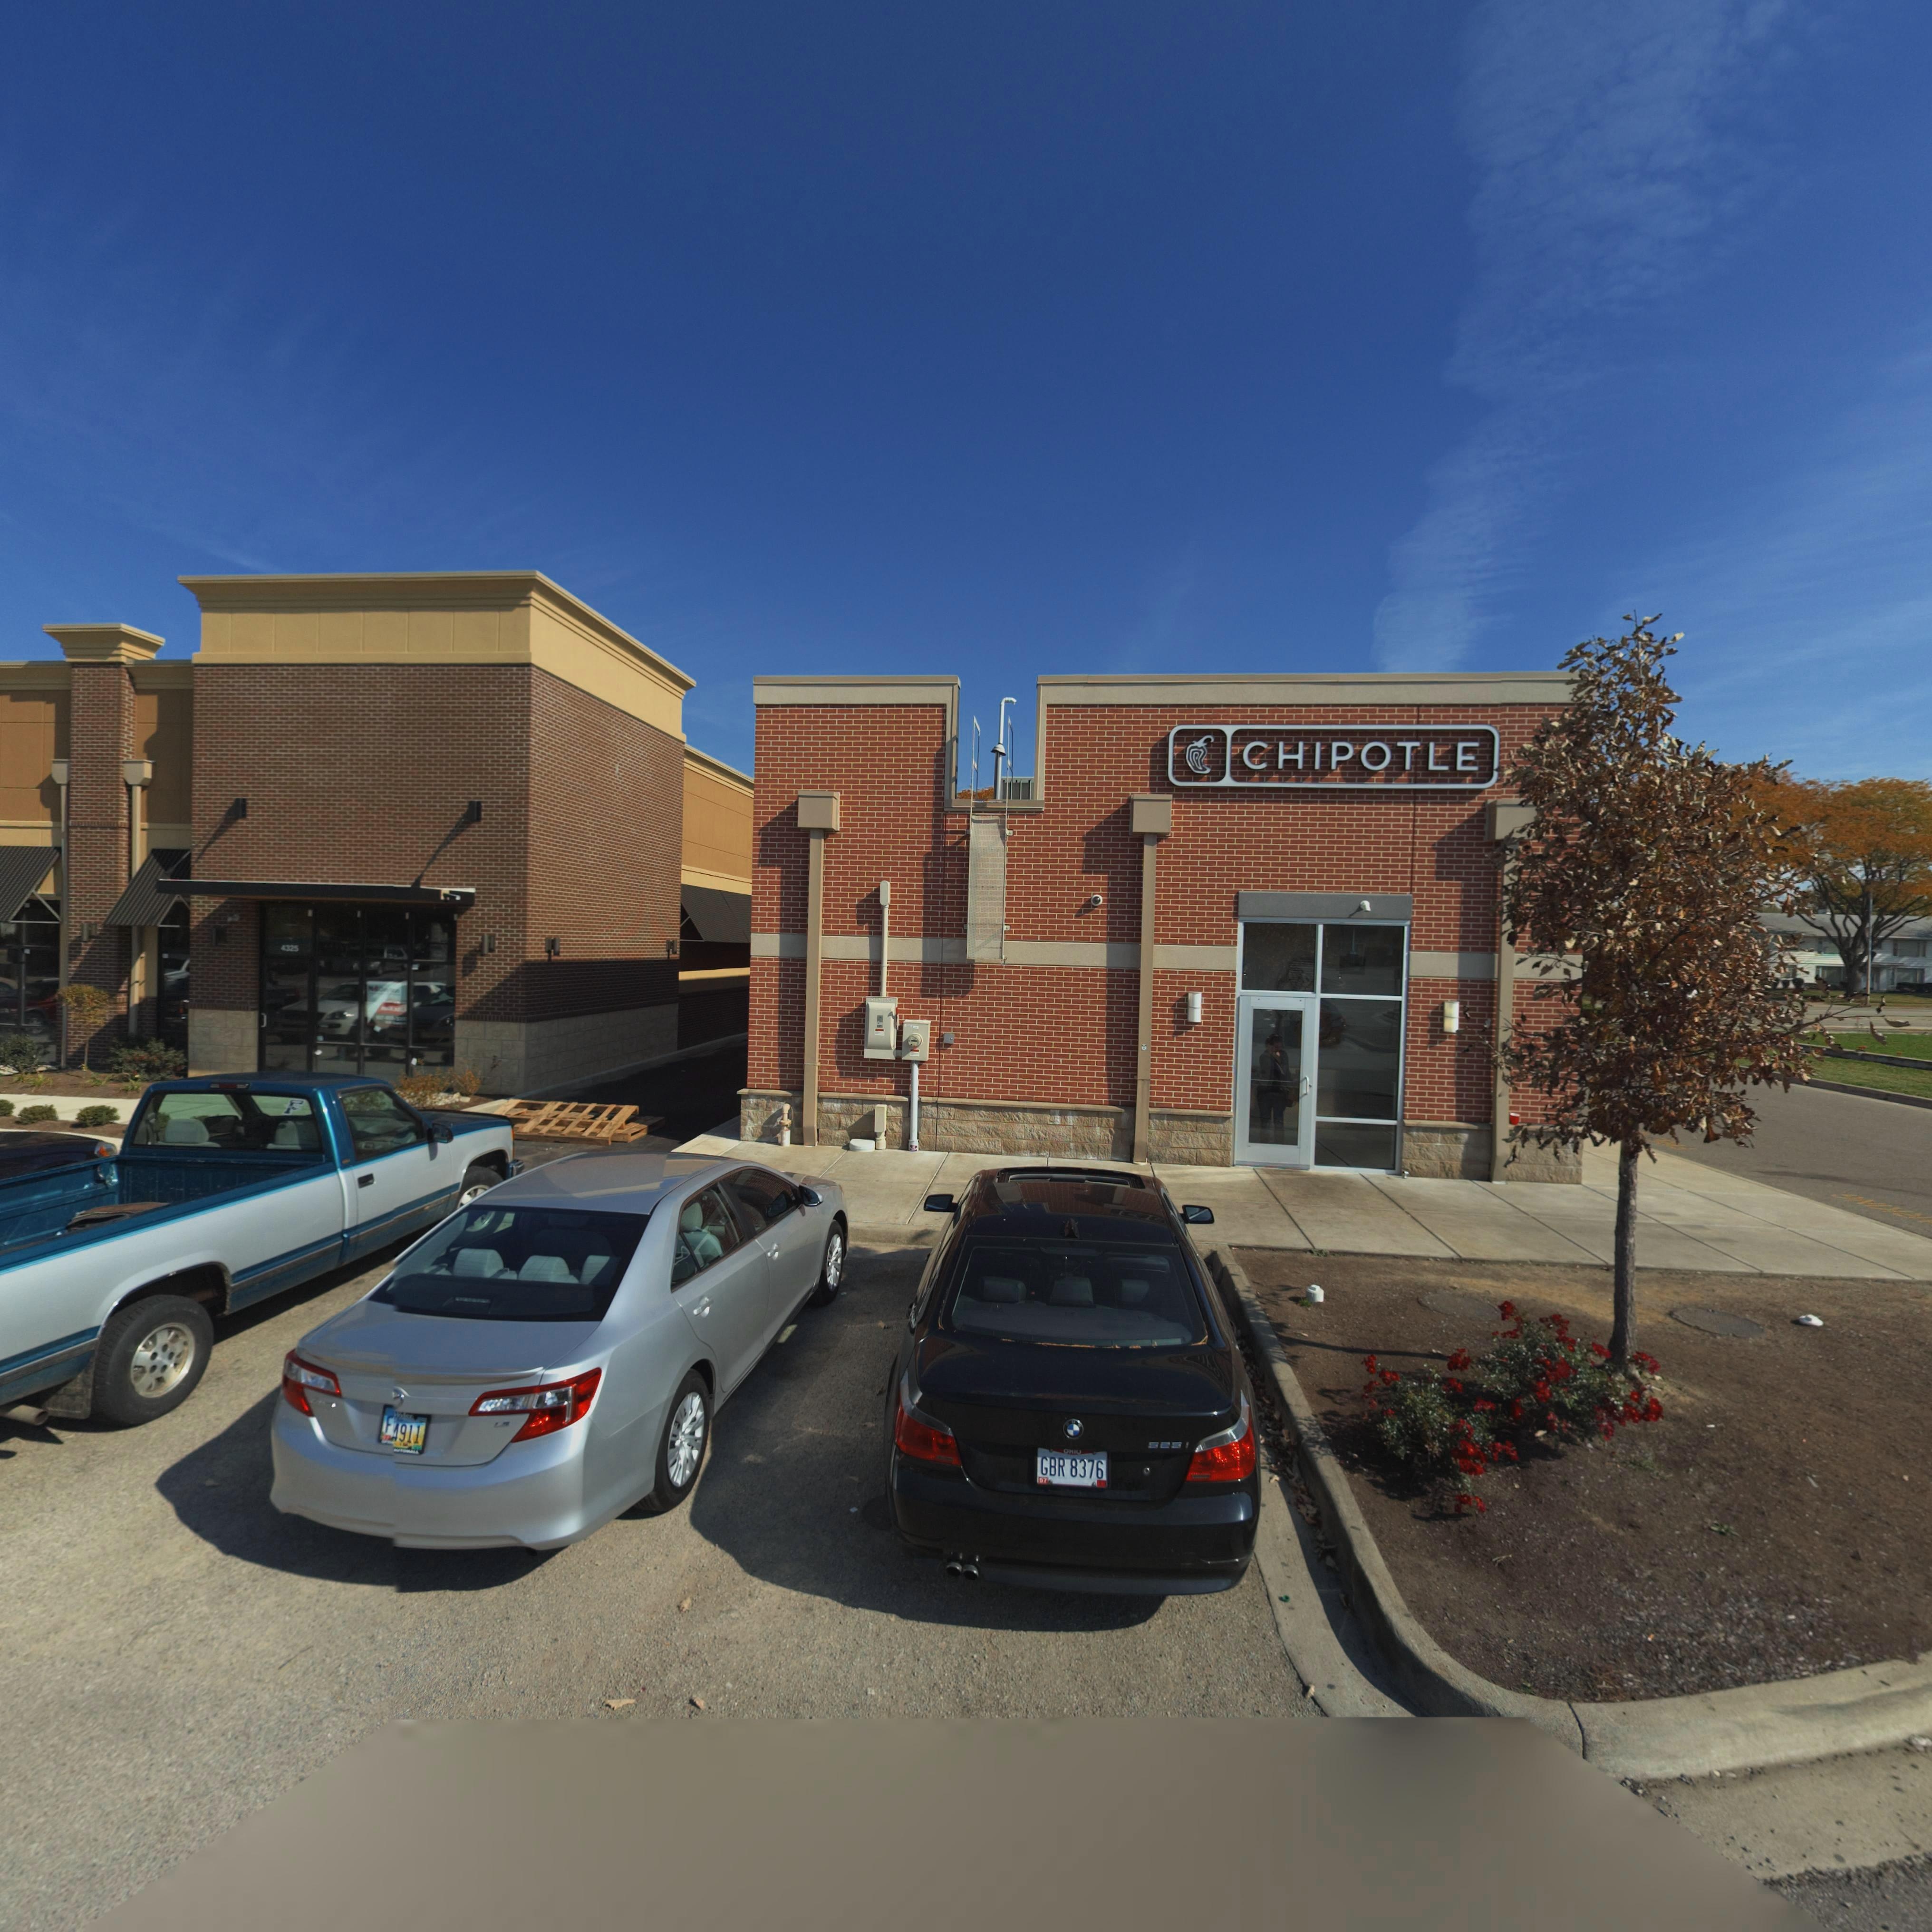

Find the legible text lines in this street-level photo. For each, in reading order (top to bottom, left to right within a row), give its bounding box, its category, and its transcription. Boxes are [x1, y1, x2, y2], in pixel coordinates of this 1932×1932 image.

[1241, 740, 1480, 773] BusinessName: CHIPOTLE
[279, 943, 301, 953] StreetNumber: 4325
[1038, 1477, 1048, 1484] None: *7